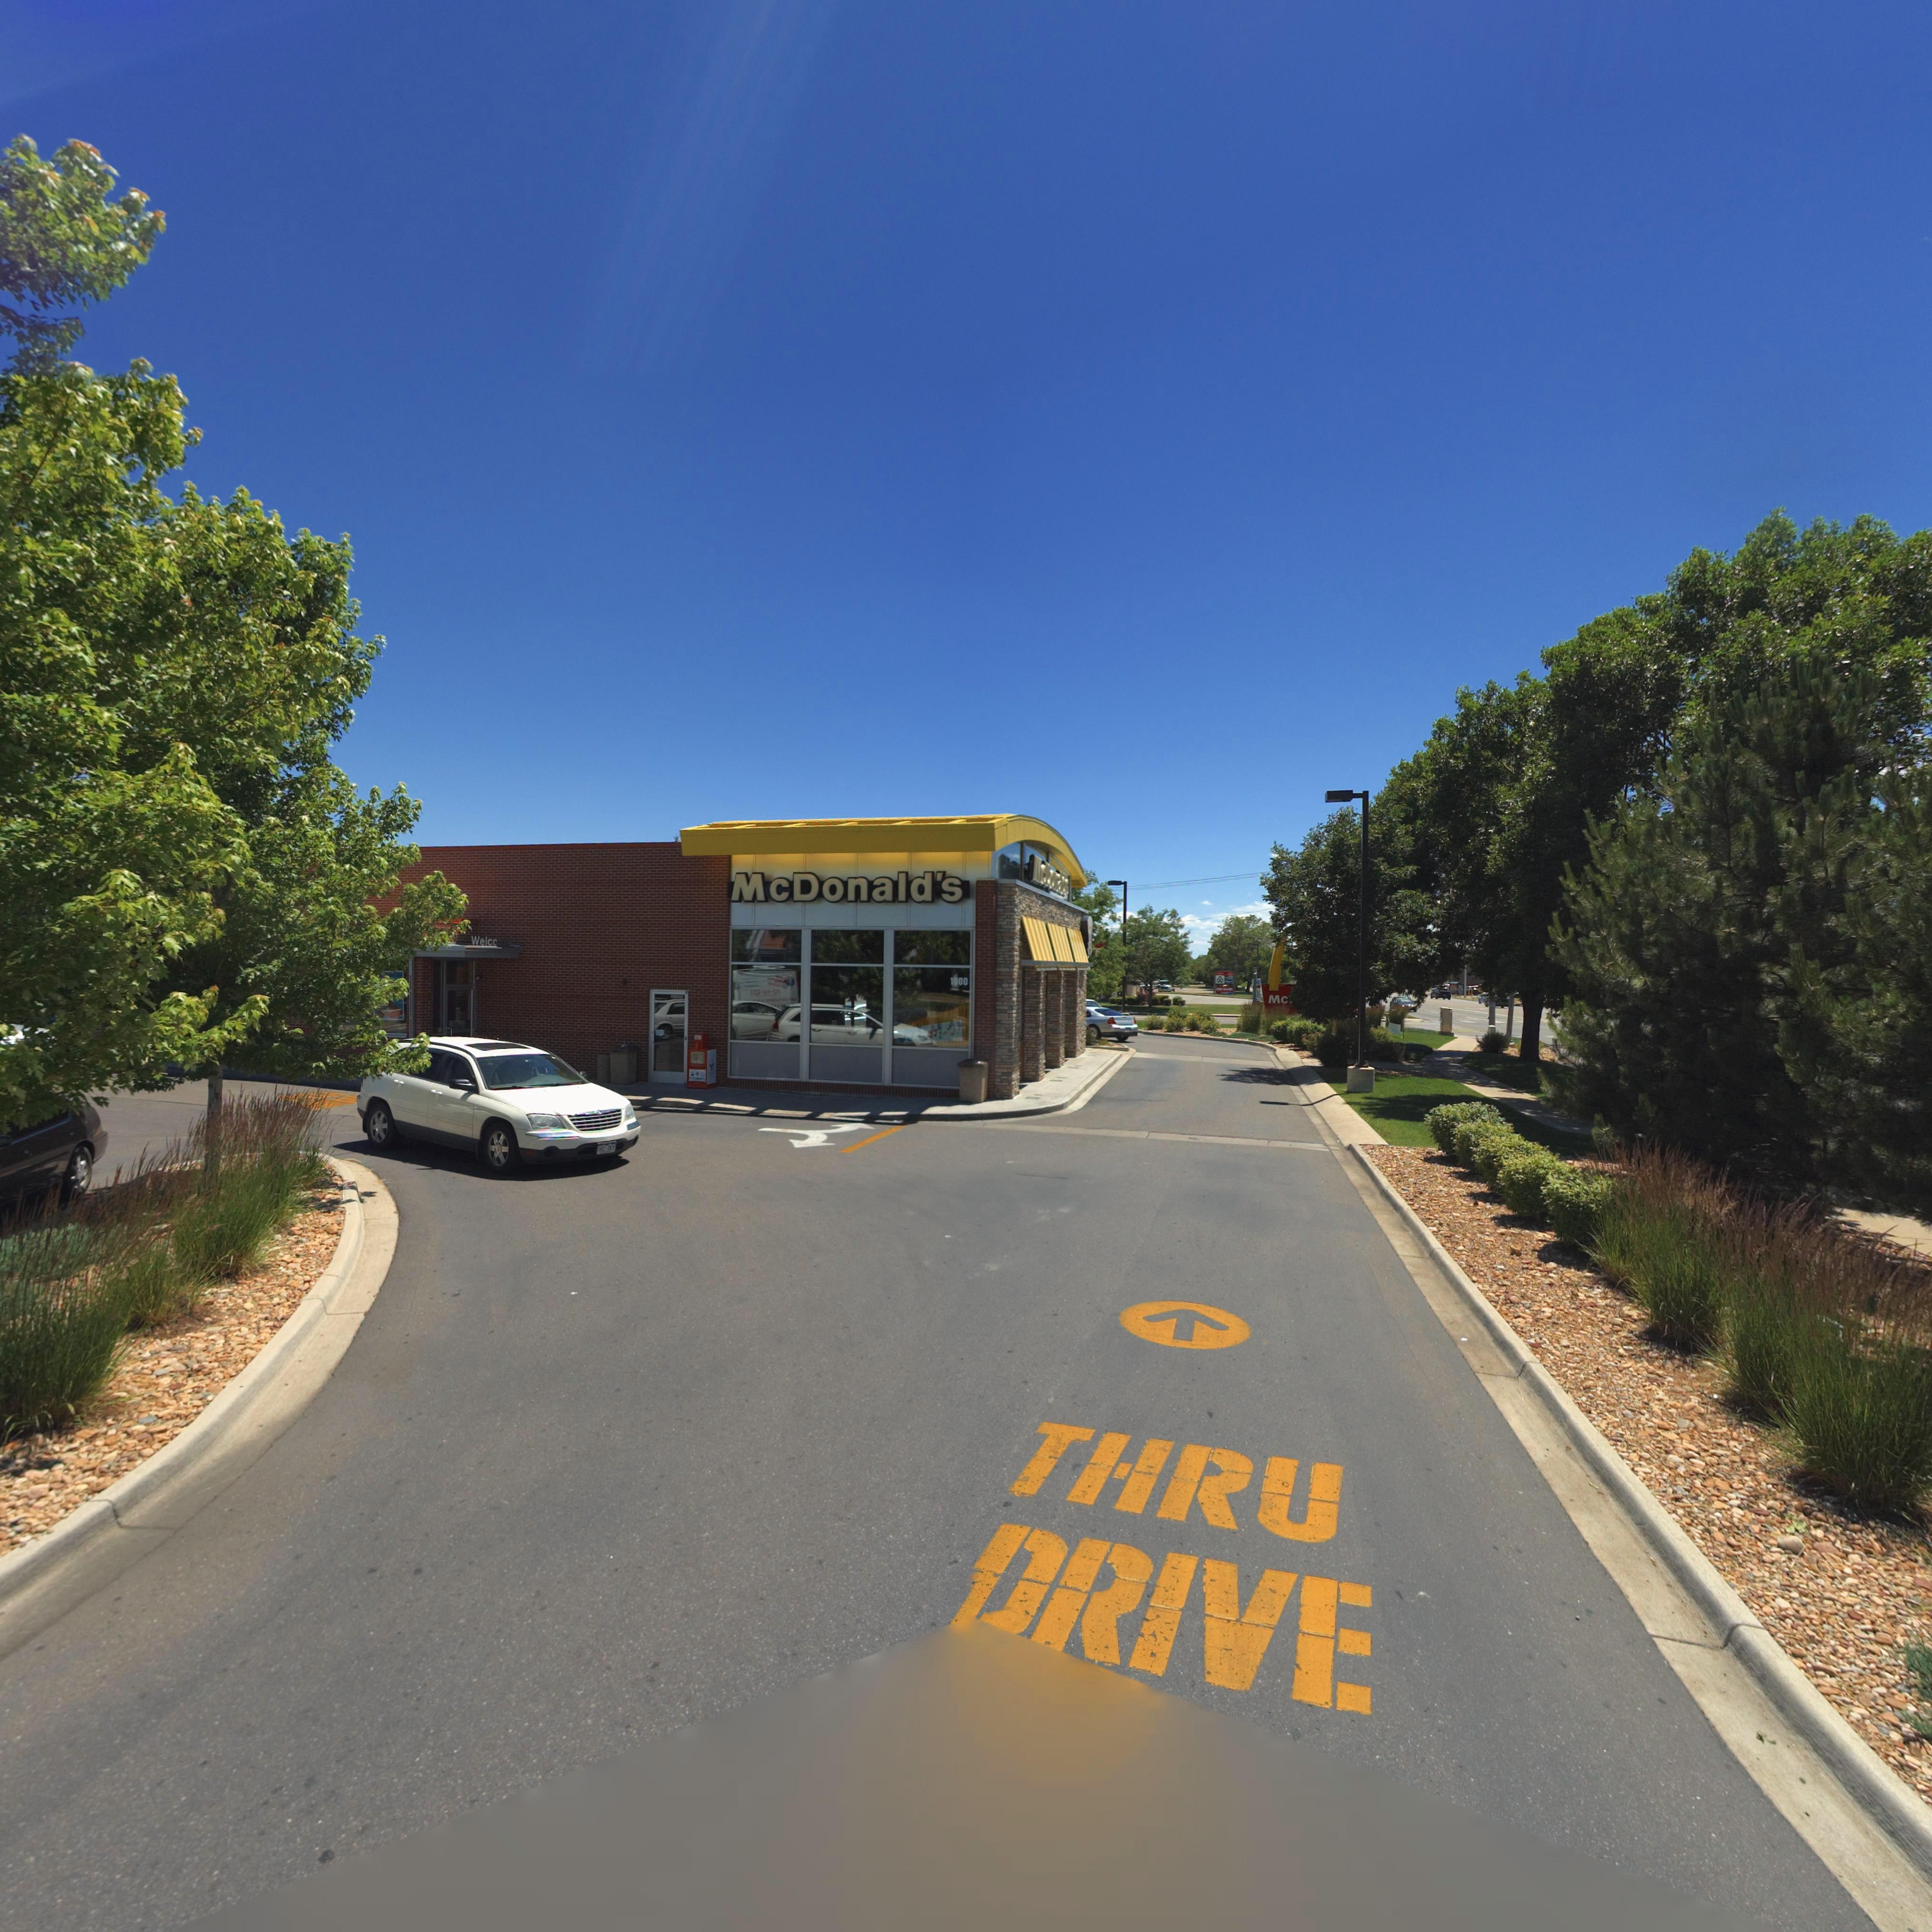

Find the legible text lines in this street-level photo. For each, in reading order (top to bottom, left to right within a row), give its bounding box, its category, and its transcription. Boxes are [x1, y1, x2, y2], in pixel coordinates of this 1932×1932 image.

[729, 869, 964, 903] BusinessName: McDonald's
[1030, 852, 1070, 897] BusinessName: Mc*o*a***s
[950, 976, 968, 985] StreetNumber: 1900
[1267, 995, 1289, 1005] BusinessName: Mc